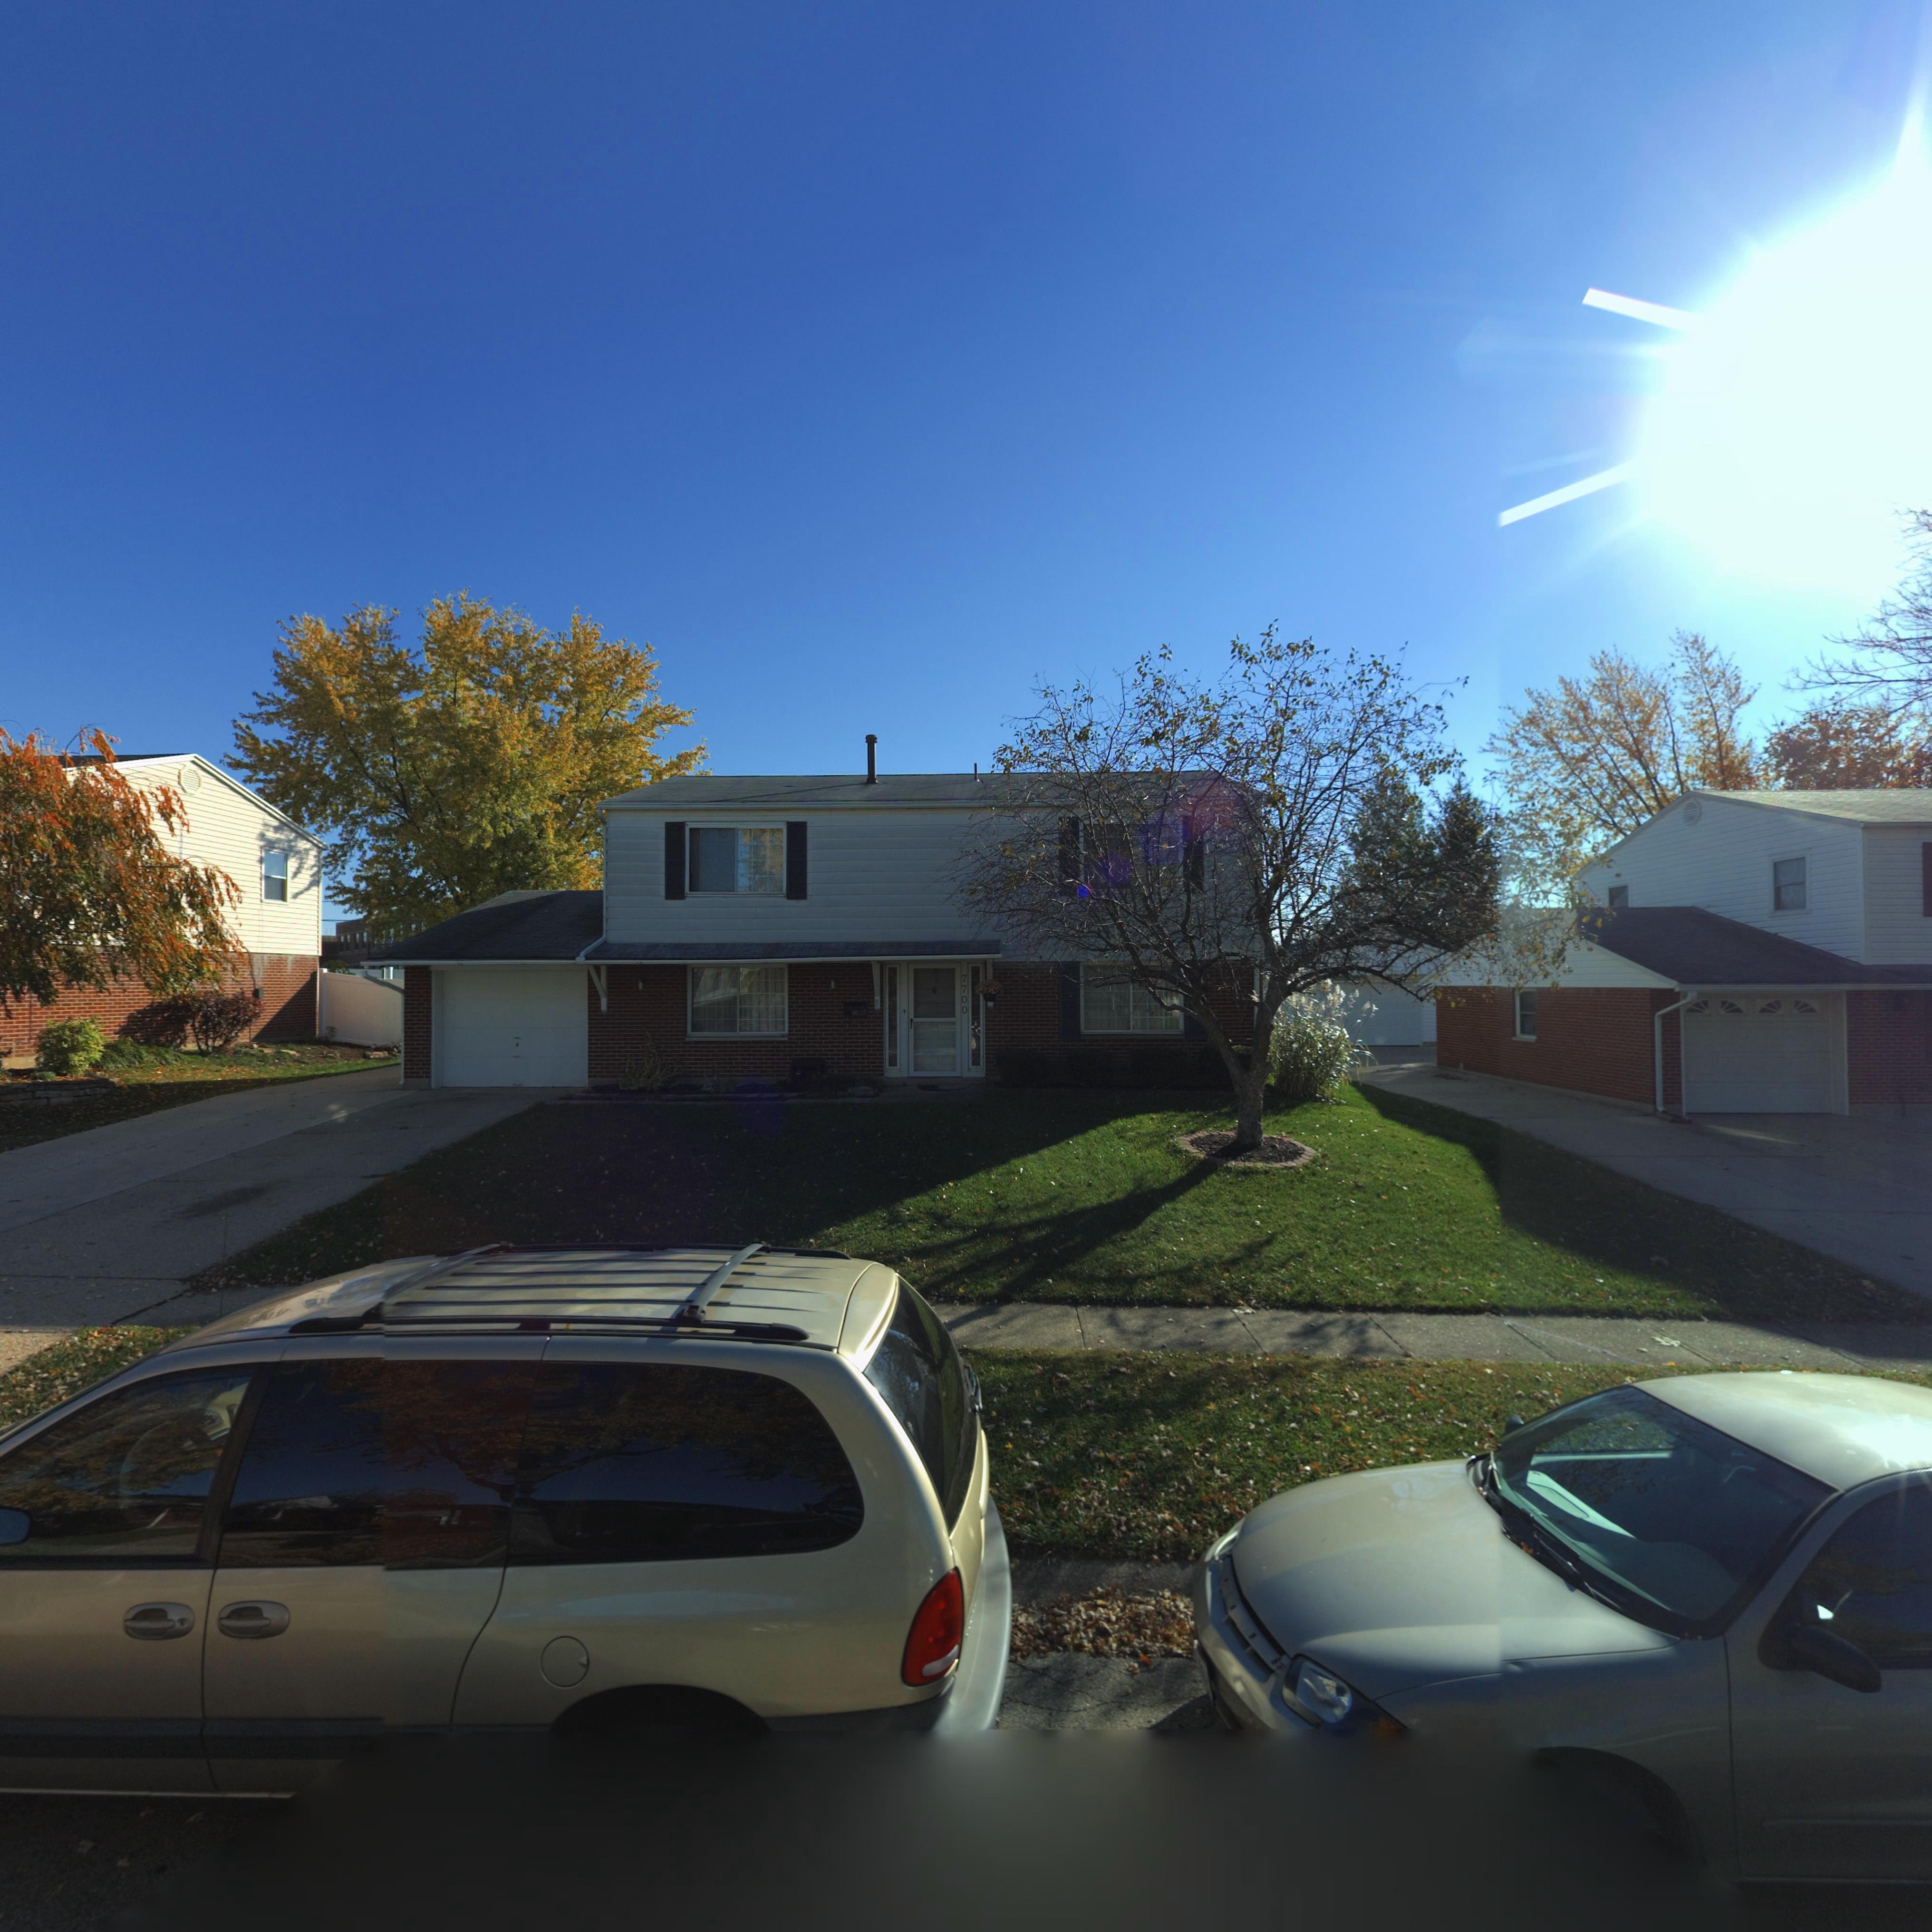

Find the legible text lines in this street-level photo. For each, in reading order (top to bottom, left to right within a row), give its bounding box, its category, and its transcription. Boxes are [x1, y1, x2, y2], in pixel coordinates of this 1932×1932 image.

[961, 974, 968, 1014] StreetNumber: 7700